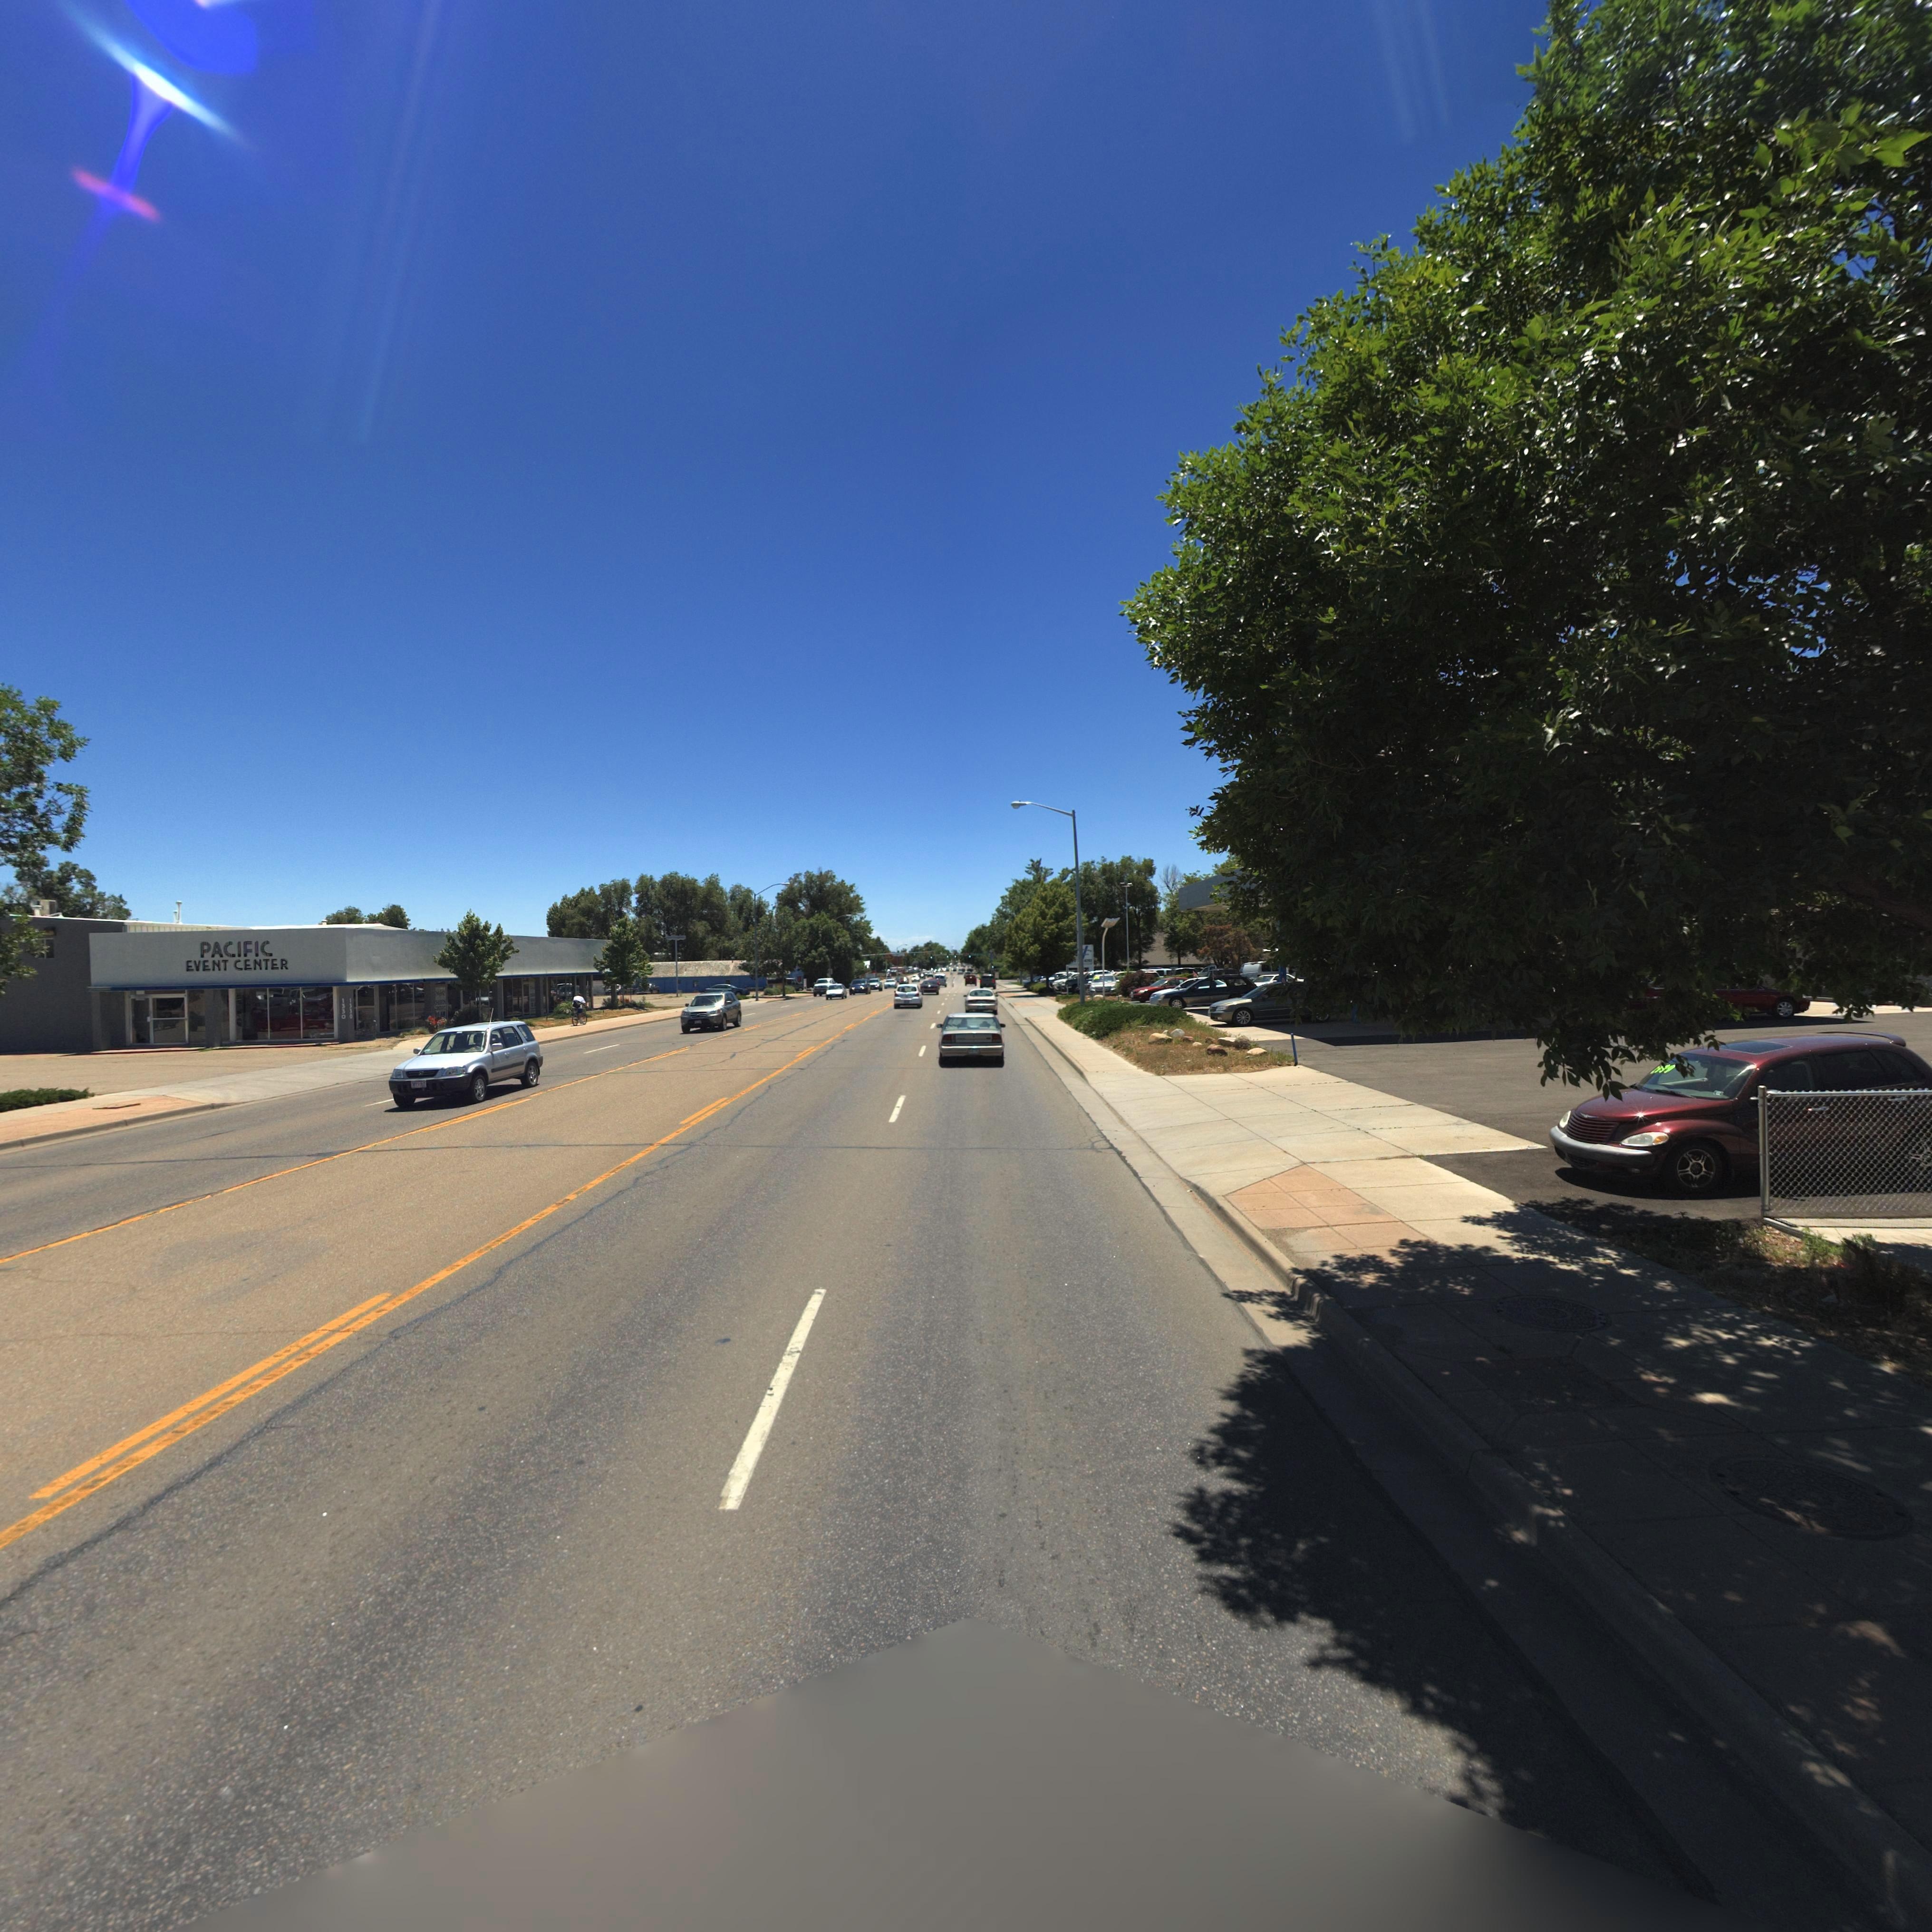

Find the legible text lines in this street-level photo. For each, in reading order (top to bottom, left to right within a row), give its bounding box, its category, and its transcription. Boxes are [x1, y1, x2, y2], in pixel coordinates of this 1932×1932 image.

[199, 939, 273, 958] BusinessName: PACIFIC
[185, 957, 289, 972] BusinessName: EVENT CENTER
[341, 997, 346, 1019] StreetNumber: 1330
[348, 997, 353, 1019] StreetNumber: 1330